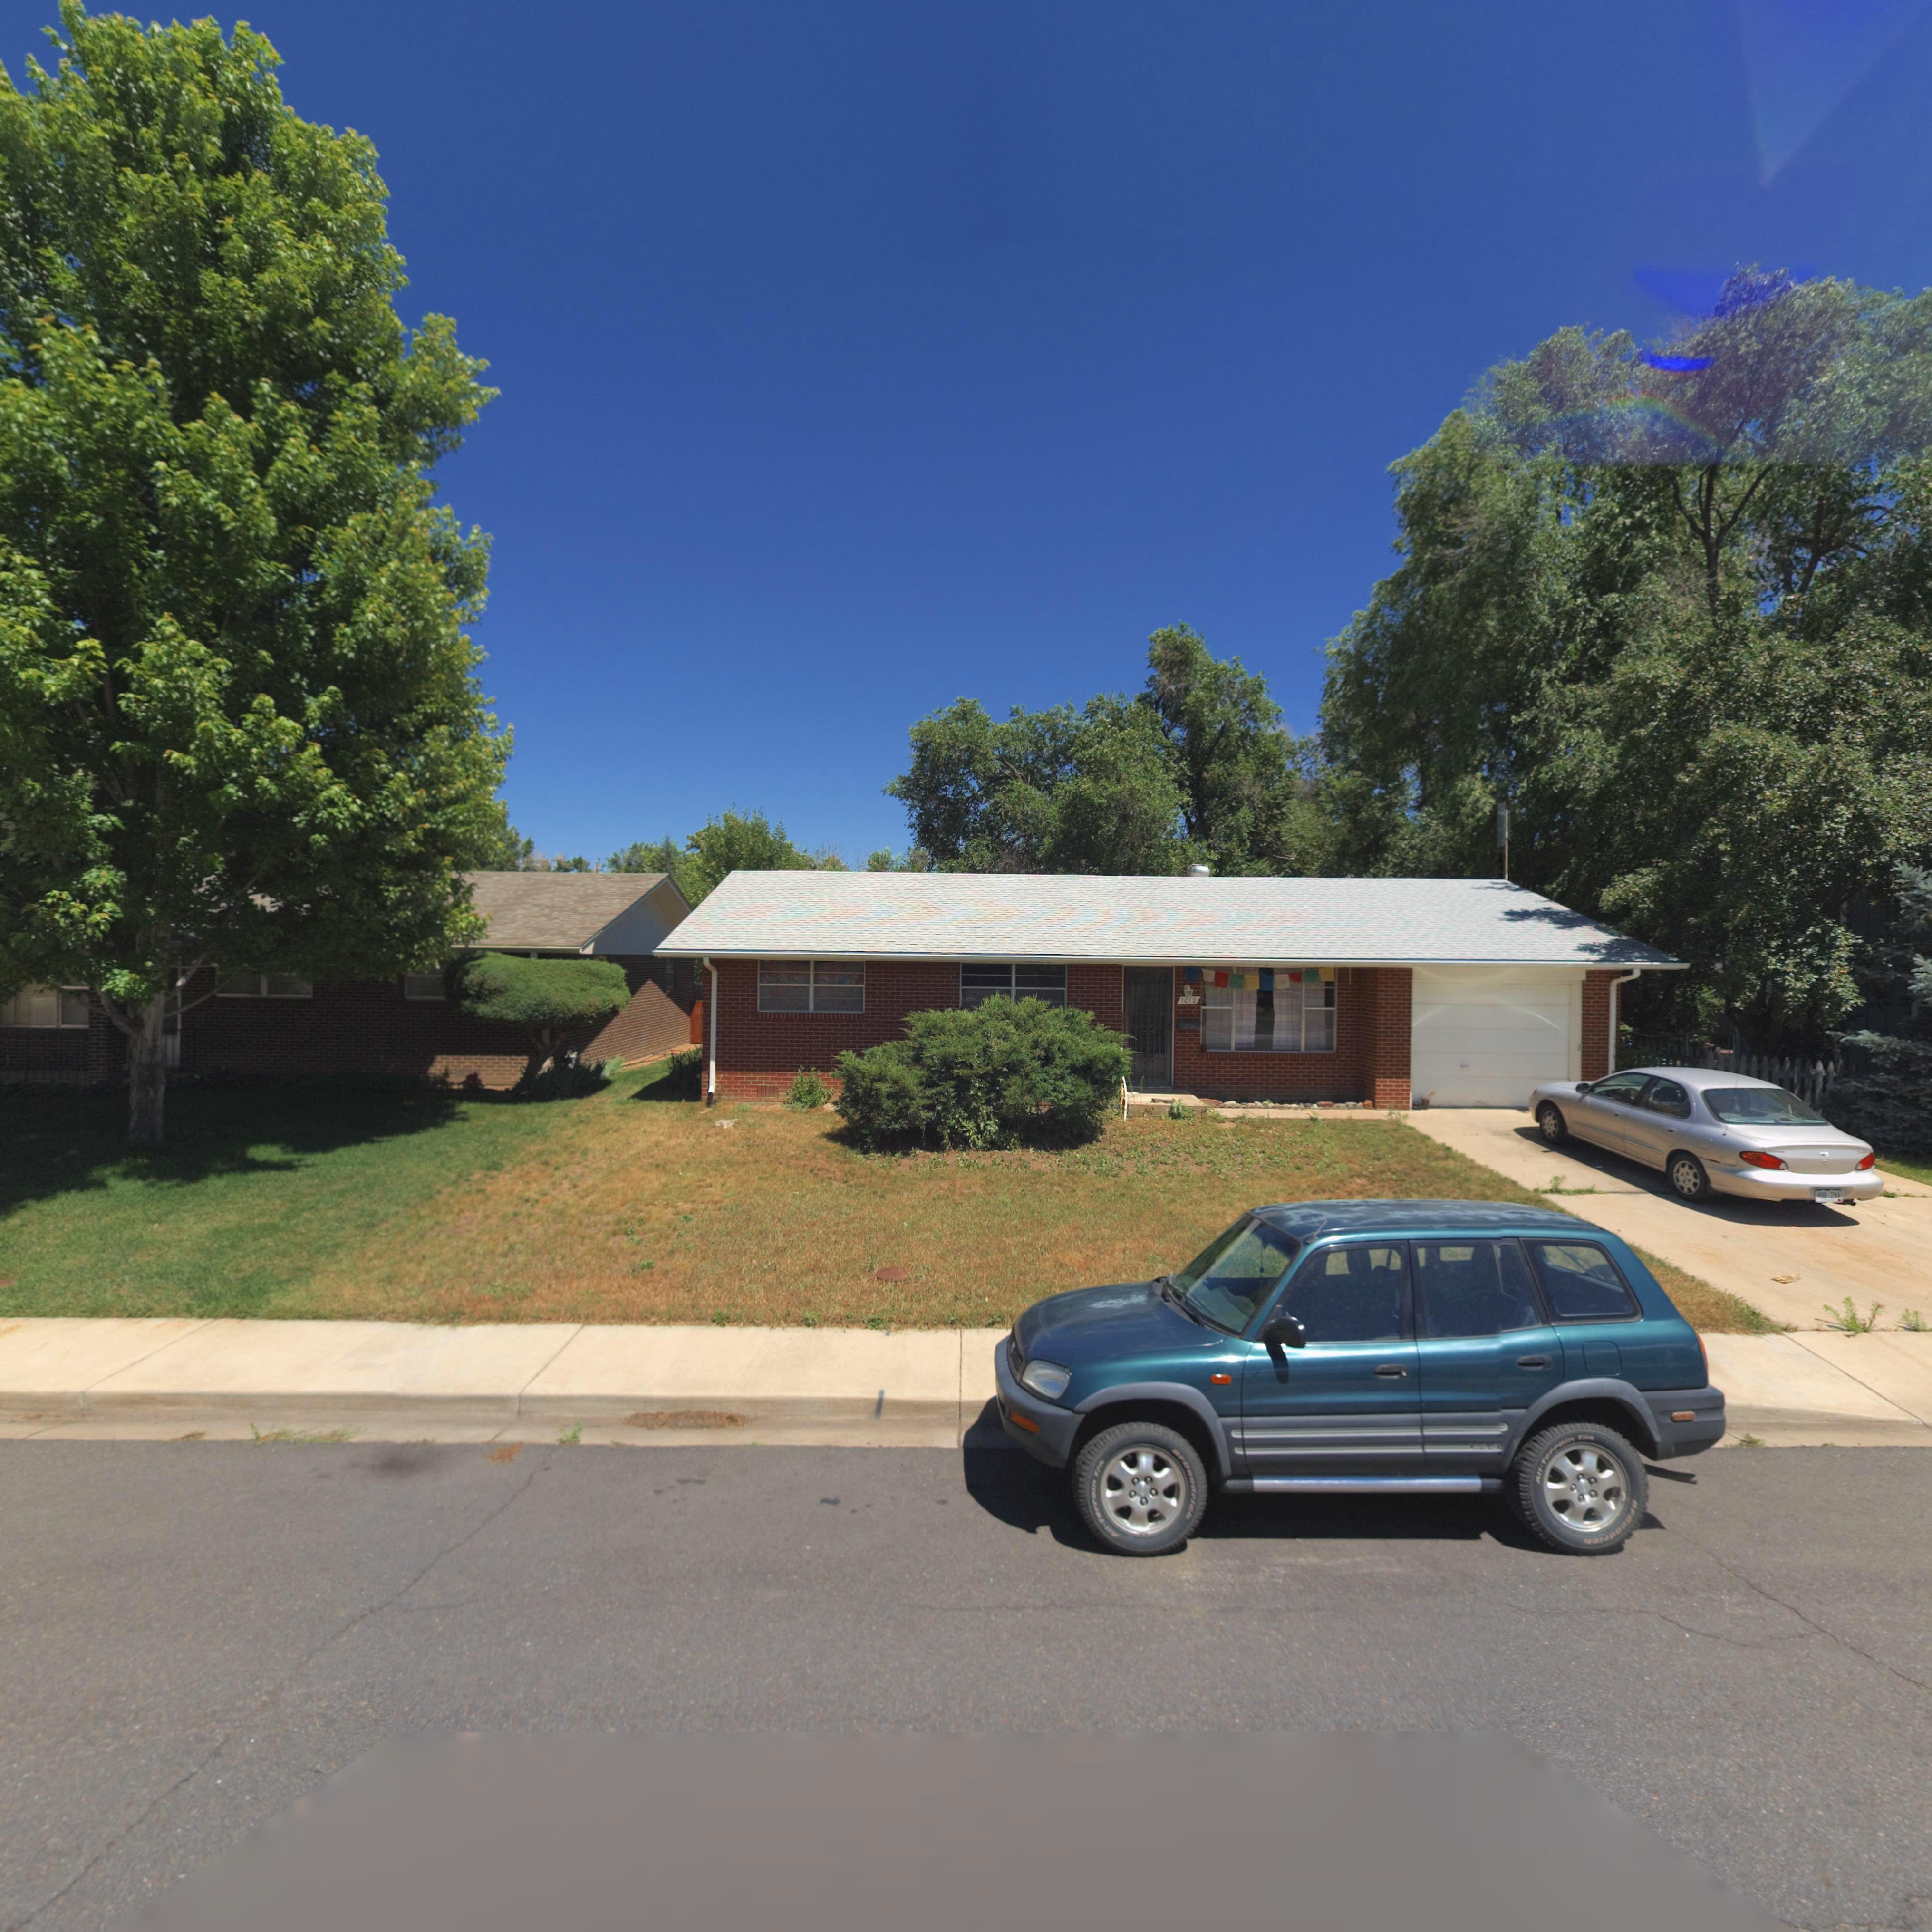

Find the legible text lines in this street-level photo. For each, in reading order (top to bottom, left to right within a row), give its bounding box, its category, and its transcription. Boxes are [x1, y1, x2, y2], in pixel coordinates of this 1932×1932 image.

[1180, 997, 1197, 1003] StreetNumber: 1012